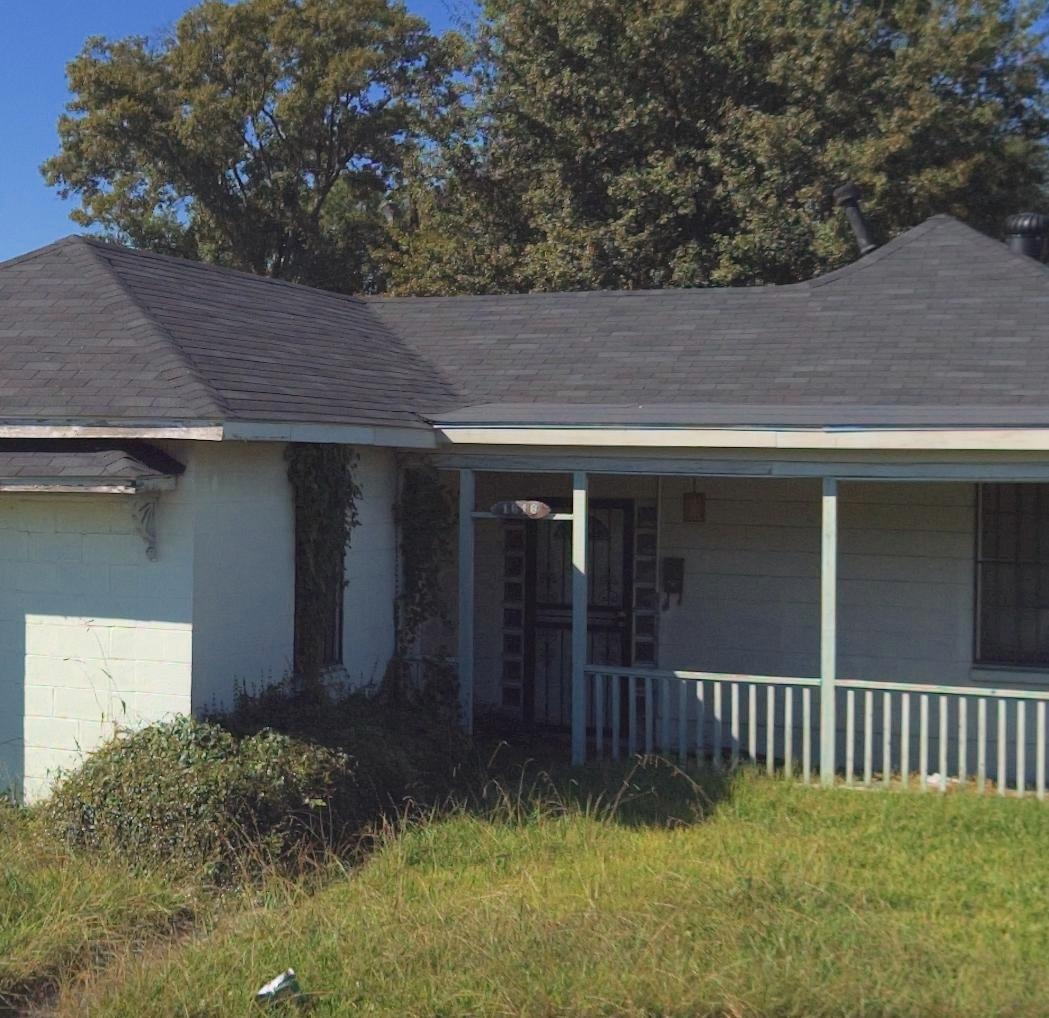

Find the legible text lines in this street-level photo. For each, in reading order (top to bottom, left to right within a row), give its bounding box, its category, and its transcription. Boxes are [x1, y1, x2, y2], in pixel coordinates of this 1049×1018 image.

[500, 502, 539, 516] StreetNumber: 1616